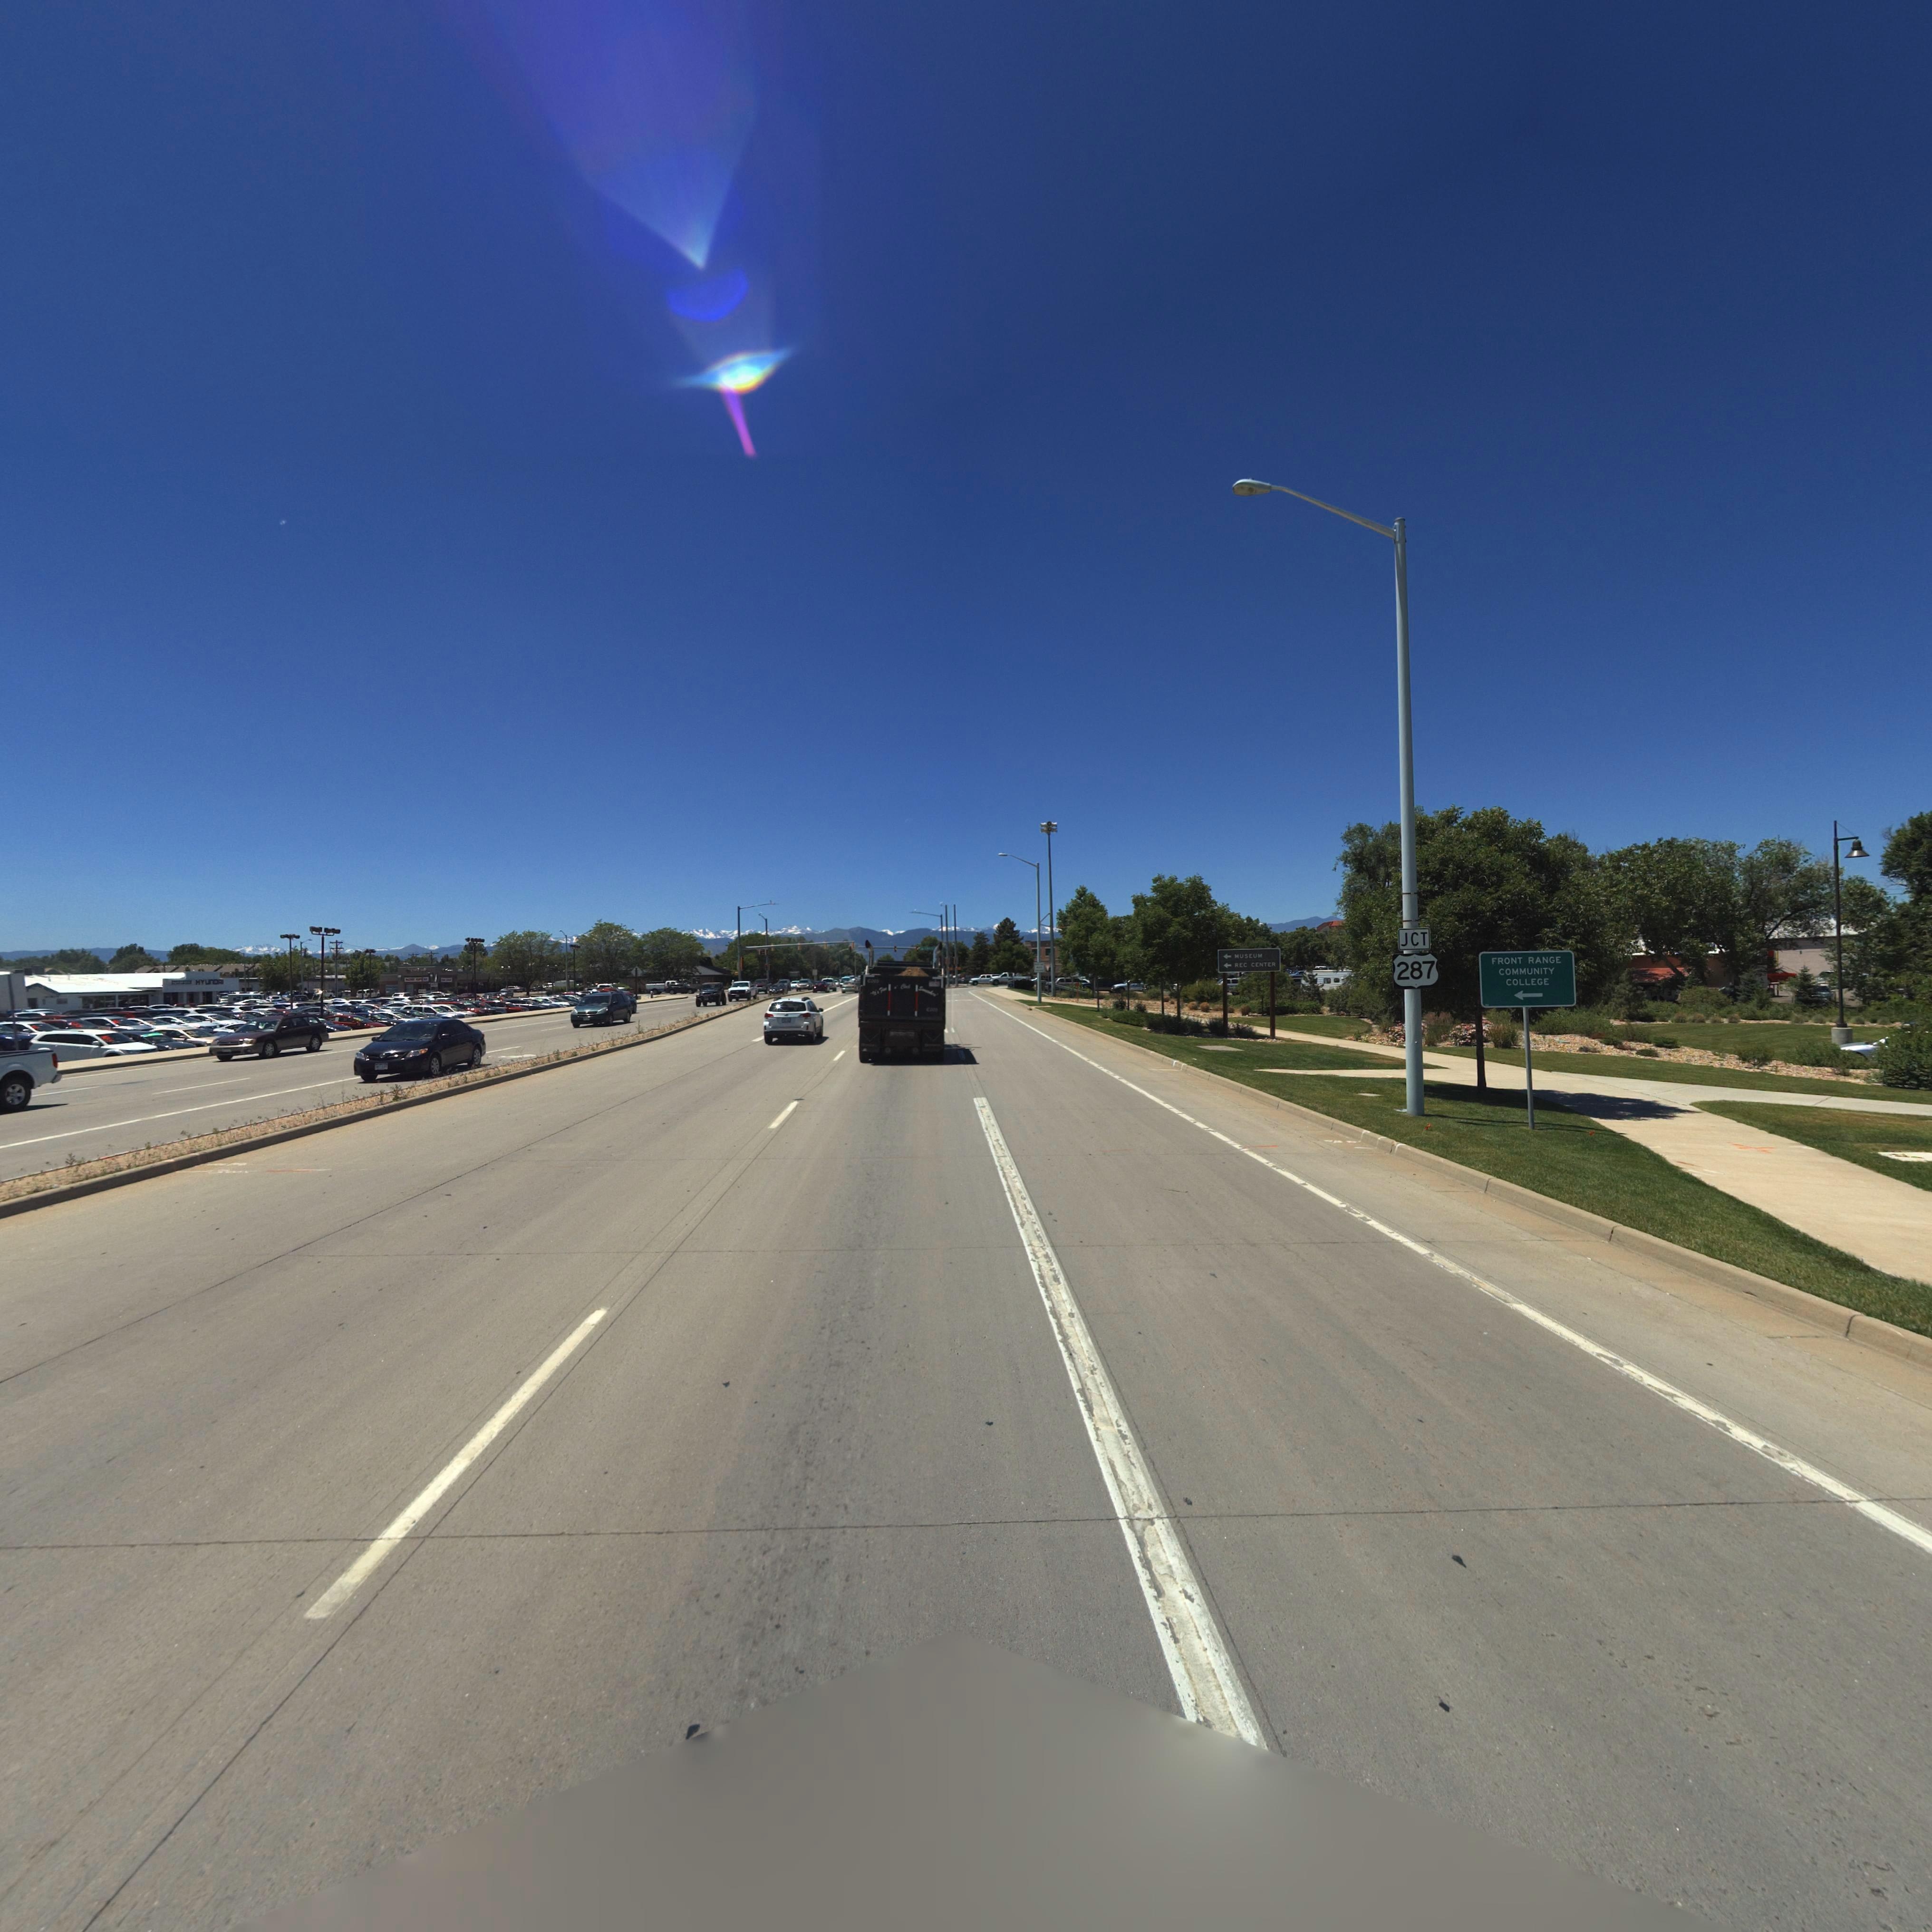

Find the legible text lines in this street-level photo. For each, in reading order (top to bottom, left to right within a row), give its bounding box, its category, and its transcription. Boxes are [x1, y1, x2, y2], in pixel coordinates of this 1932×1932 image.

[171, 980, 193, 985] BusinessName: *T**I***
[195, 979, 224, 985] BusinessName: HYUnDAI